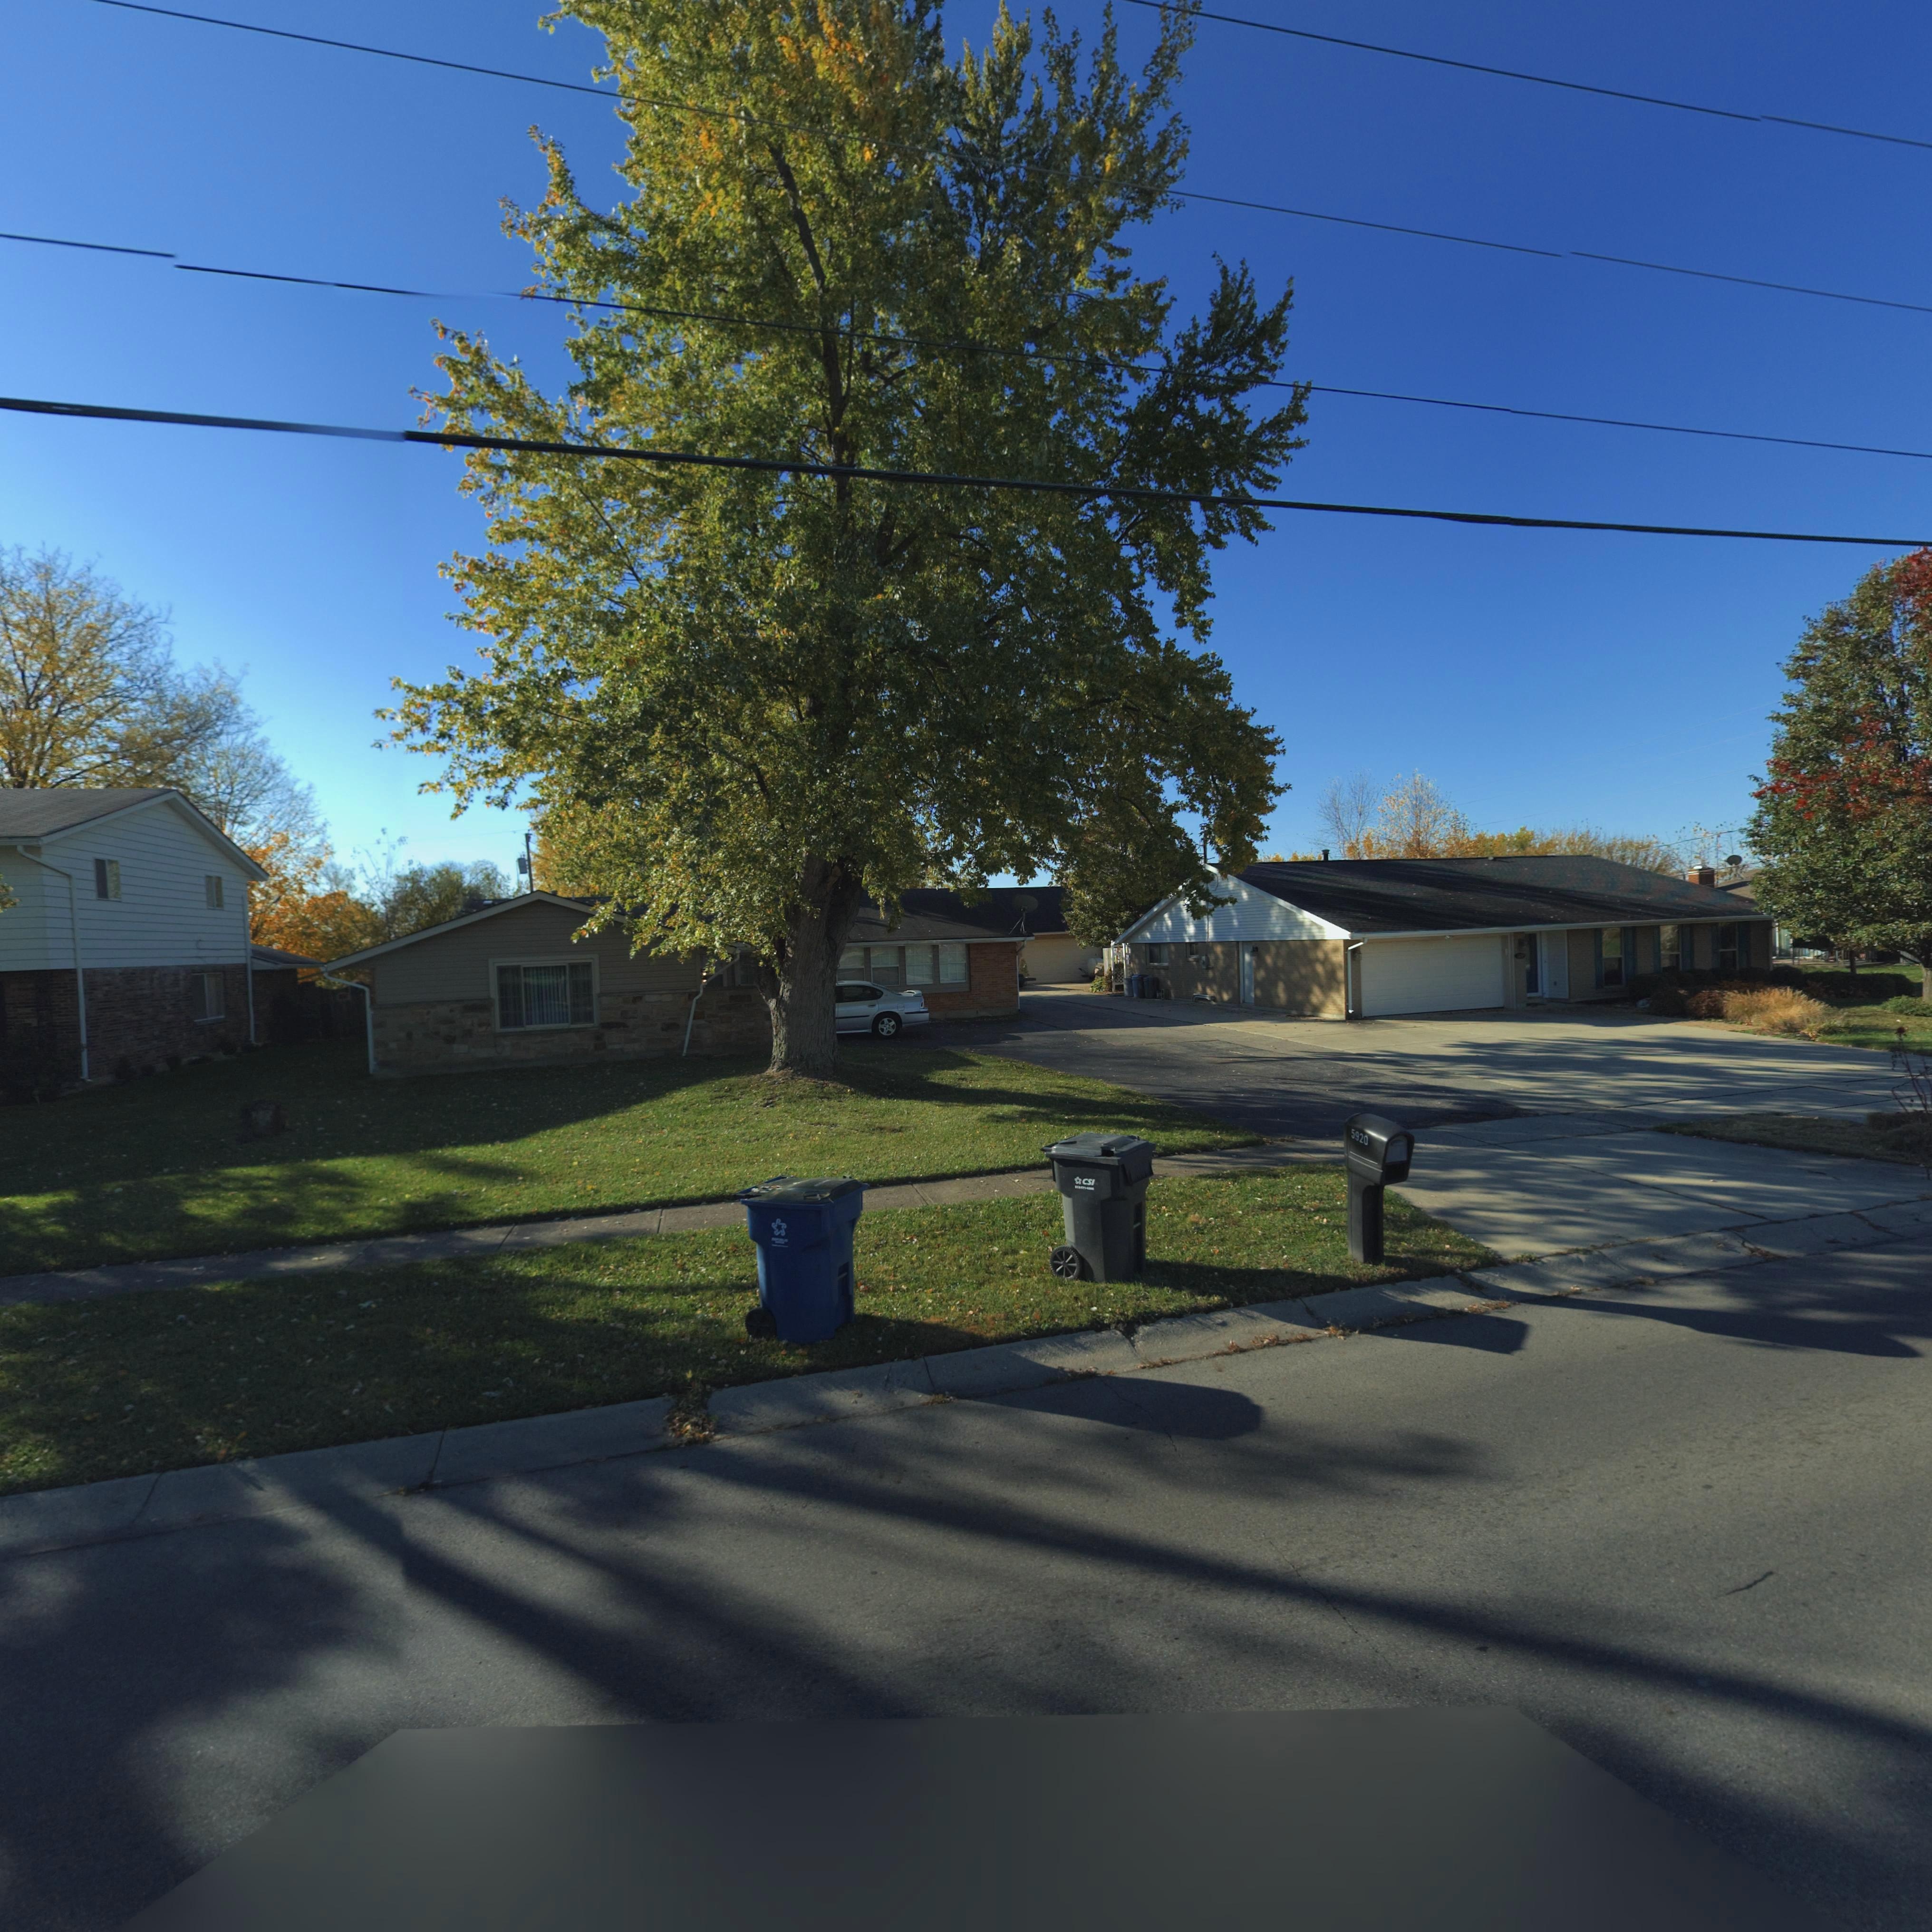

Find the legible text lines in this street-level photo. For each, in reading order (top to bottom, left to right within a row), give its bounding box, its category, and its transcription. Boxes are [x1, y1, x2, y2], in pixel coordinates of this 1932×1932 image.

[1351, 1128, 1369, 1147] StreetNumber: 5920